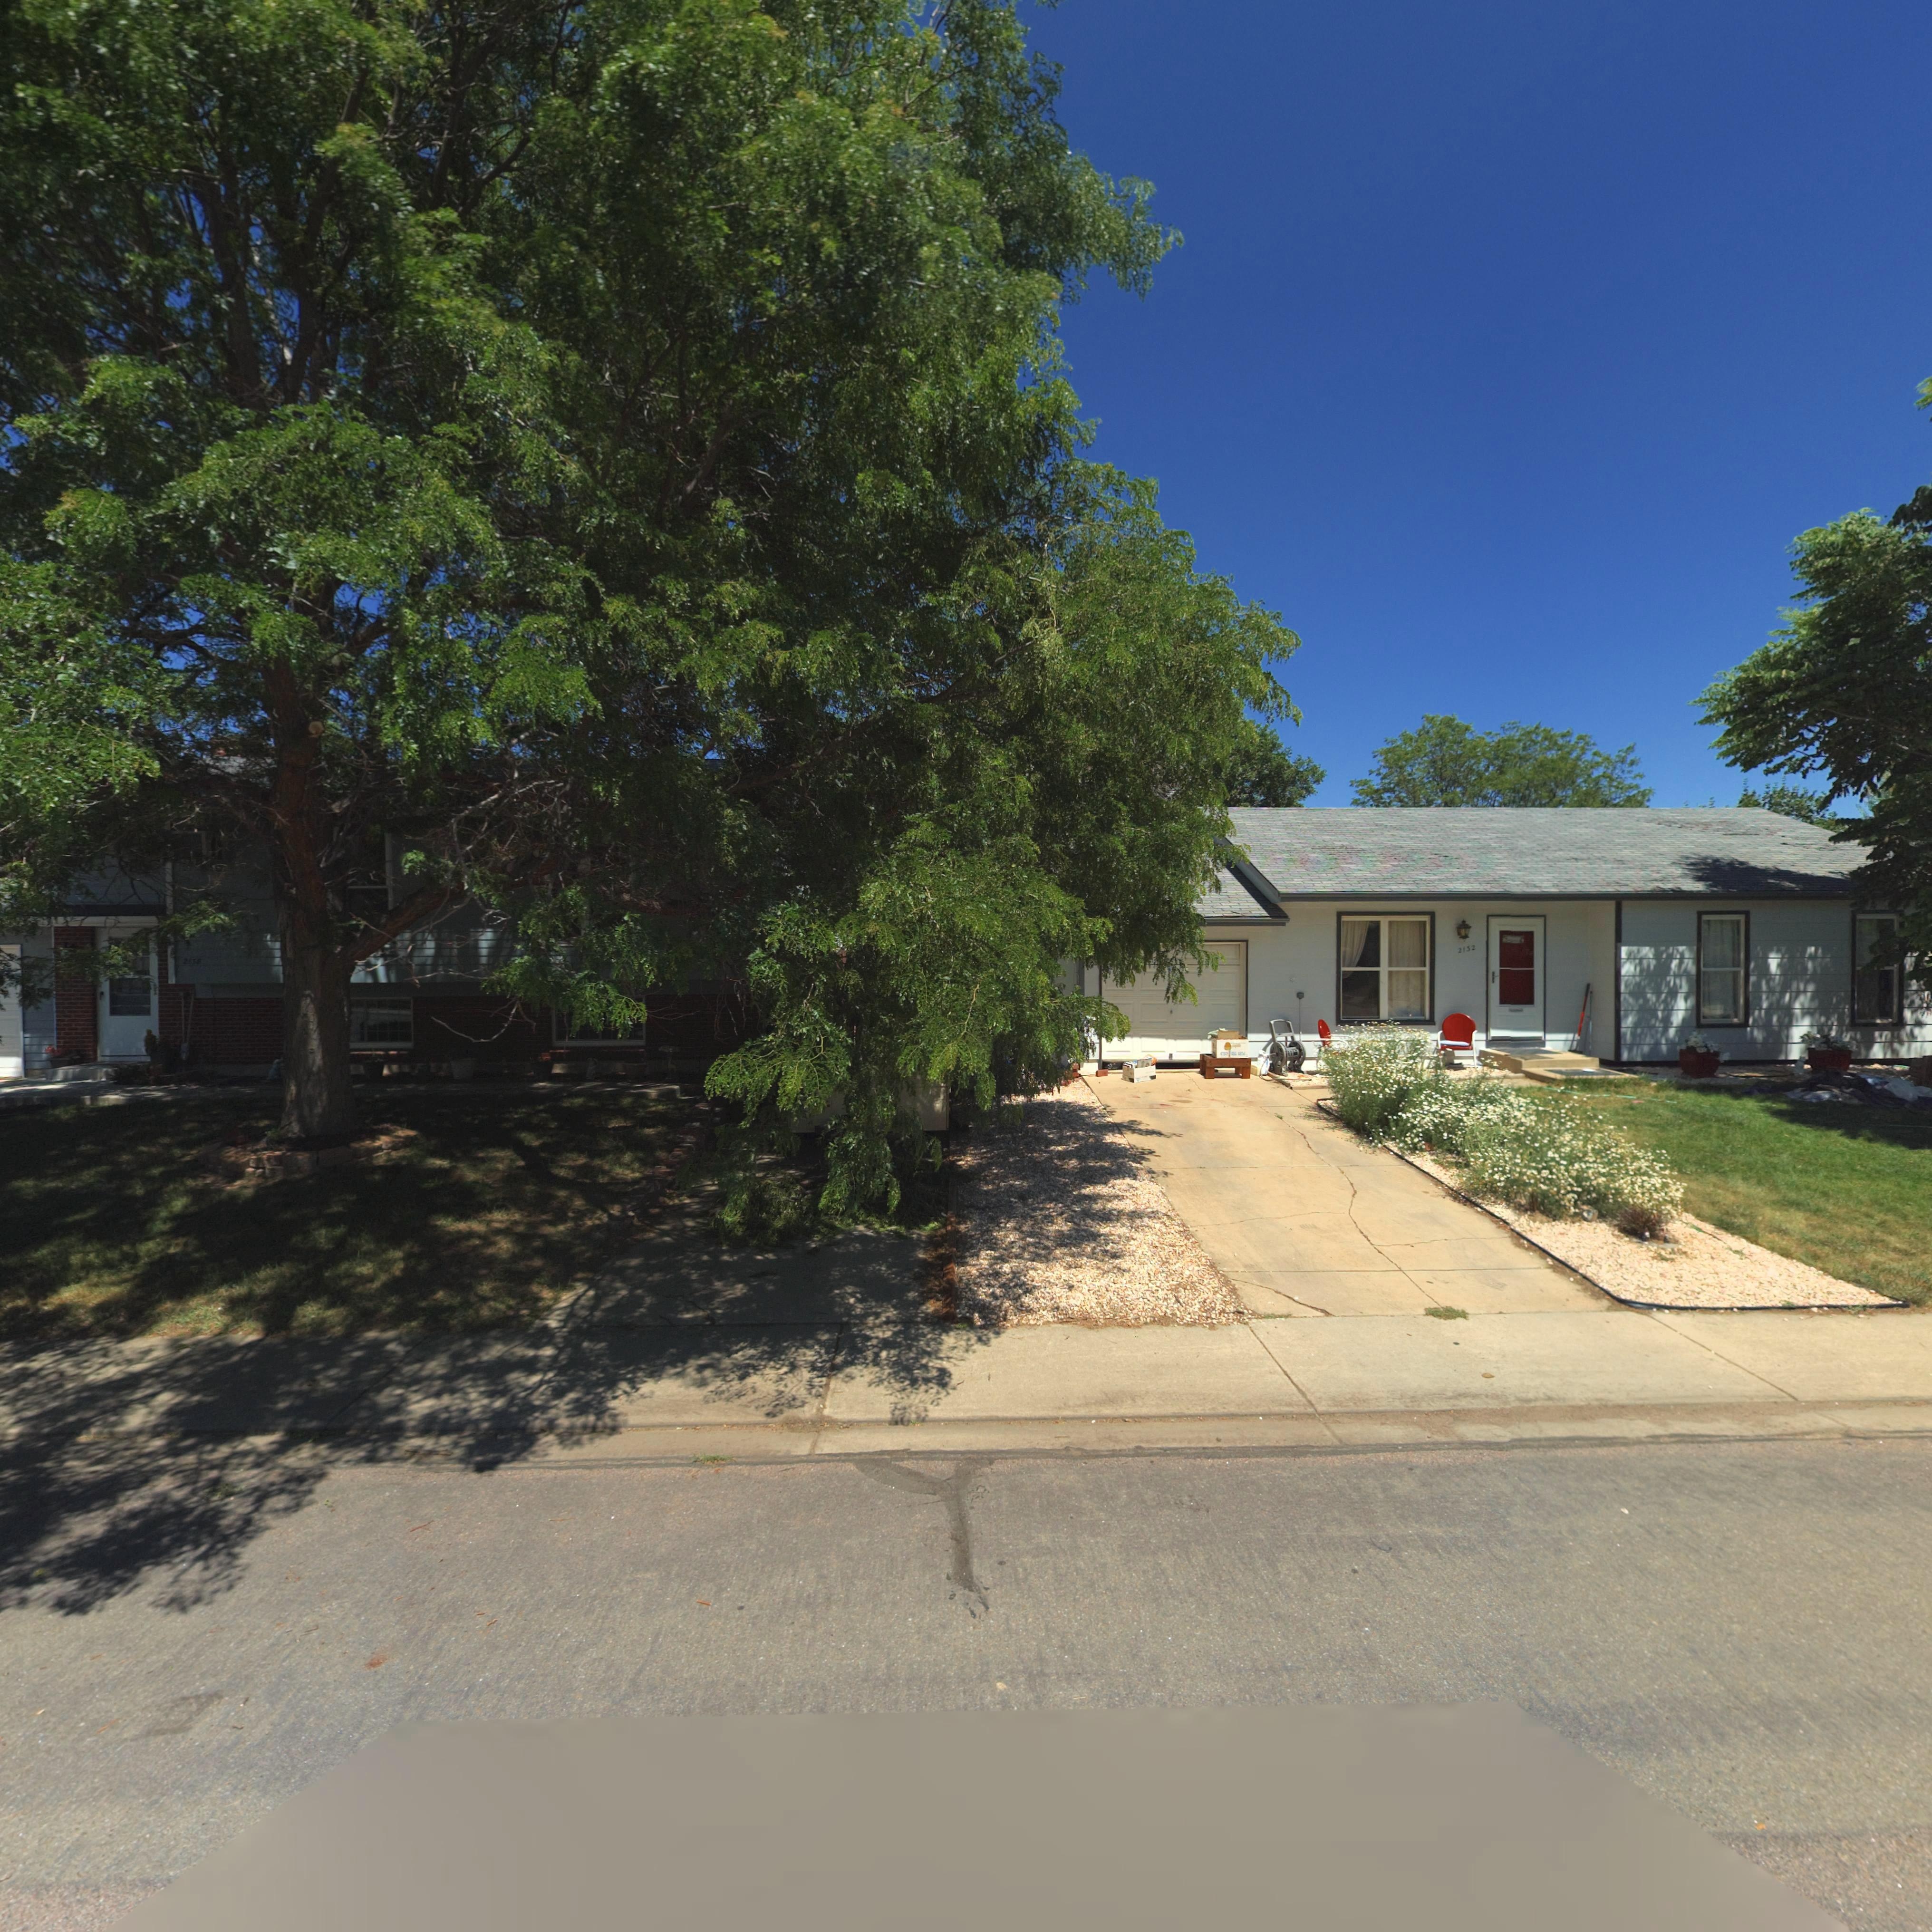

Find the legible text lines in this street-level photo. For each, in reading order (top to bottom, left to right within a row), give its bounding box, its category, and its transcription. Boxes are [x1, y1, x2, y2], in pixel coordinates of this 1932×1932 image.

[1458, 944, 1475, 954] StreetName: 2132
[182, 957, 203, 965] StreetNumber: 2**8